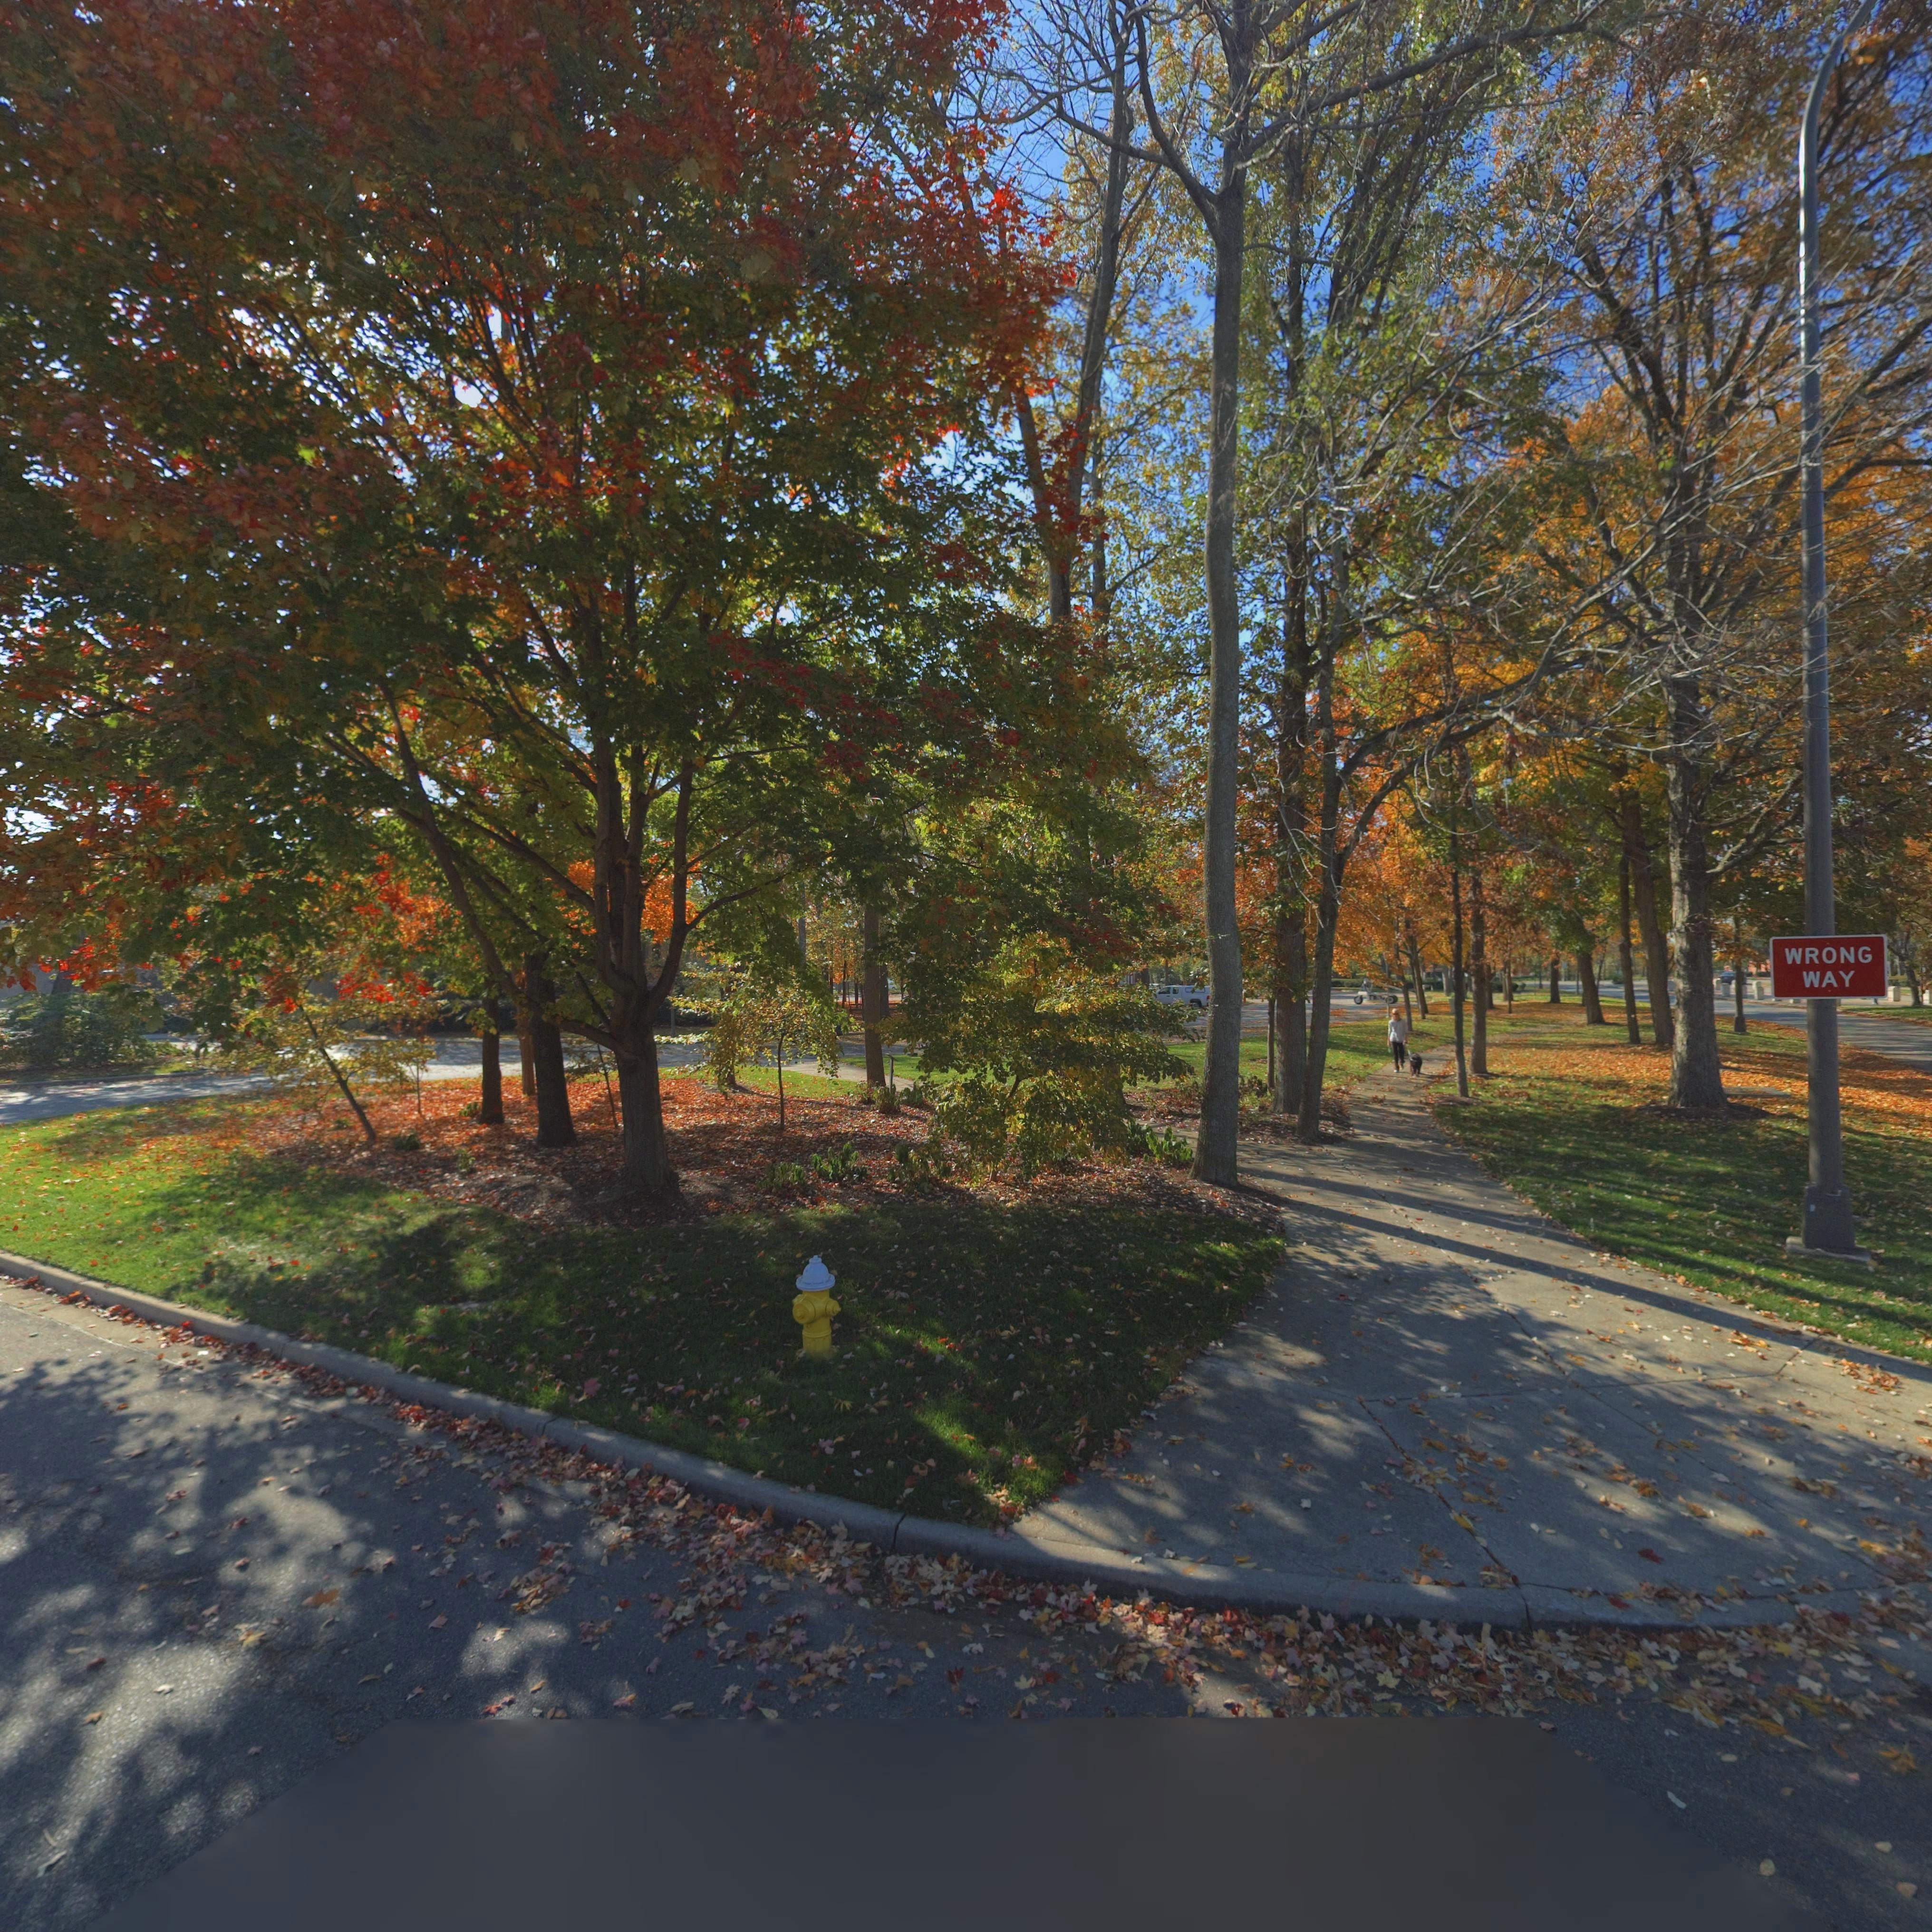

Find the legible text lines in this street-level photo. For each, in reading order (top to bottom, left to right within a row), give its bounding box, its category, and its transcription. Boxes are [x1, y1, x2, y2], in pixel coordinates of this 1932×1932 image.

[1783, 946, 1874, 965] None: WRONG
[1800, 969, 1856, 988] None: WAY